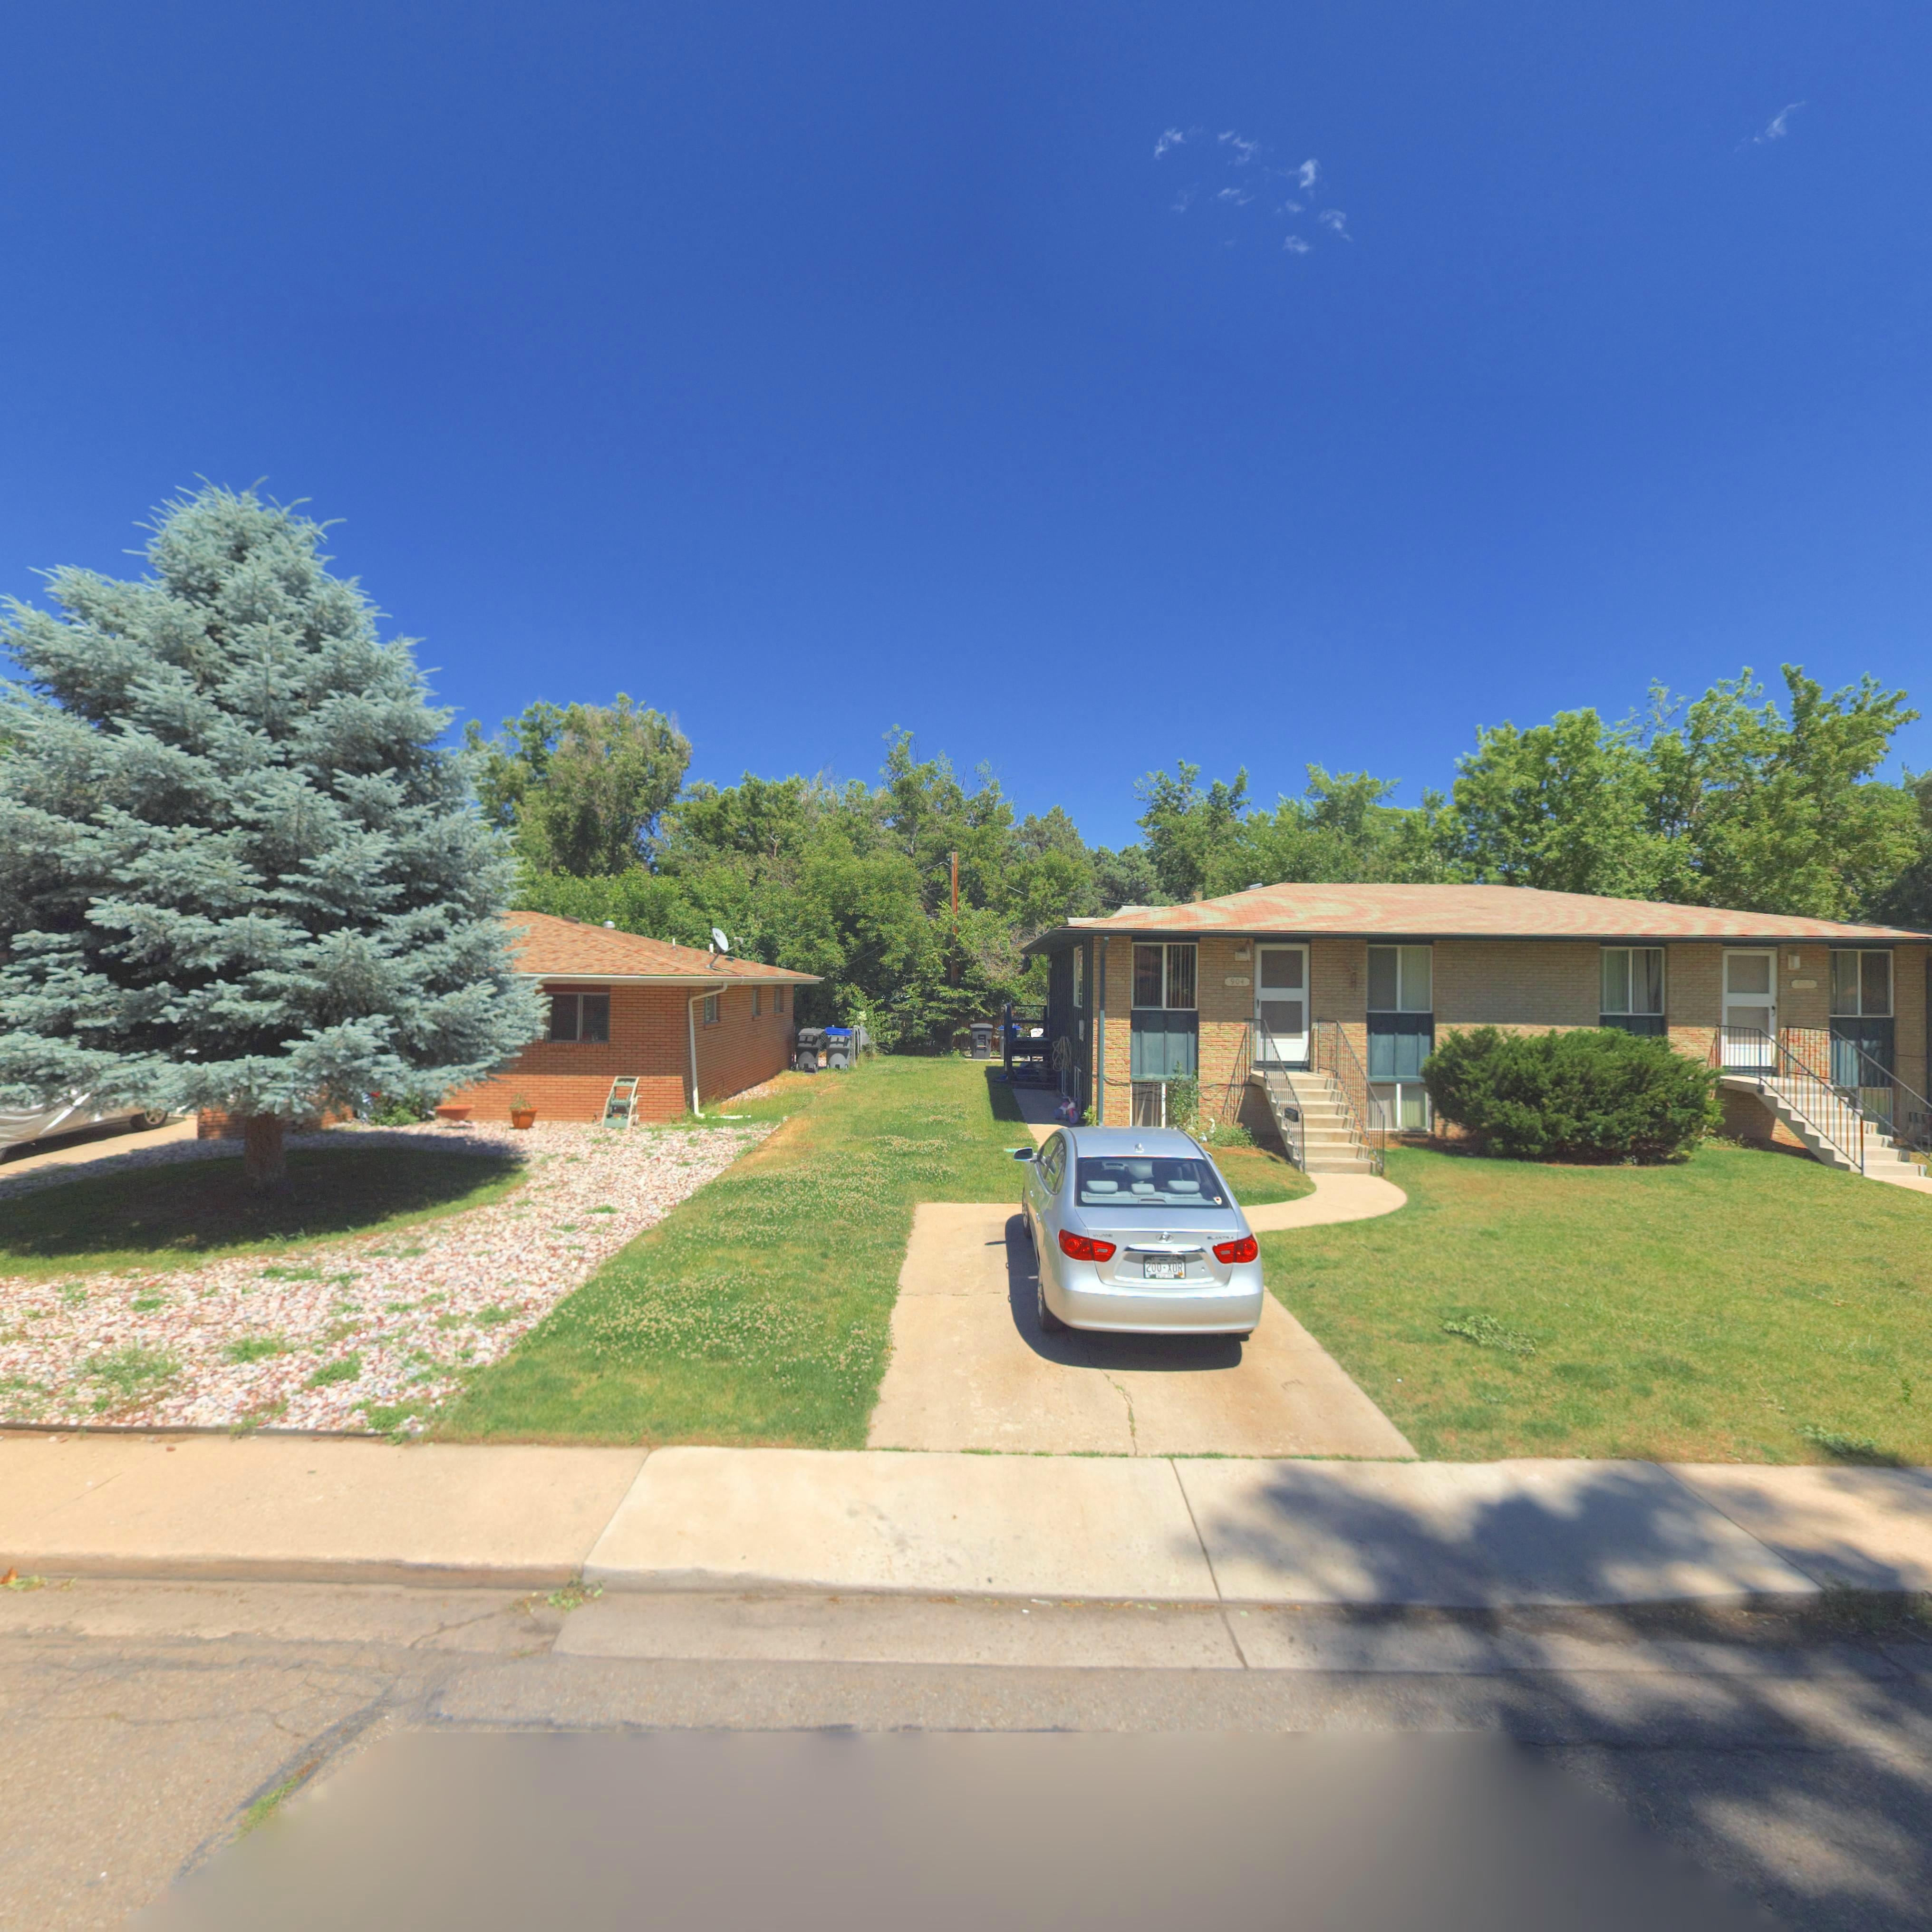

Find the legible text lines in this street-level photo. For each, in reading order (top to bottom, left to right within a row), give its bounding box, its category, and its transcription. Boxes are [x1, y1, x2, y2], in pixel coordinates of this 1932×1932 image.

[1230, 978, 1244, 985] StreetNumber: 904